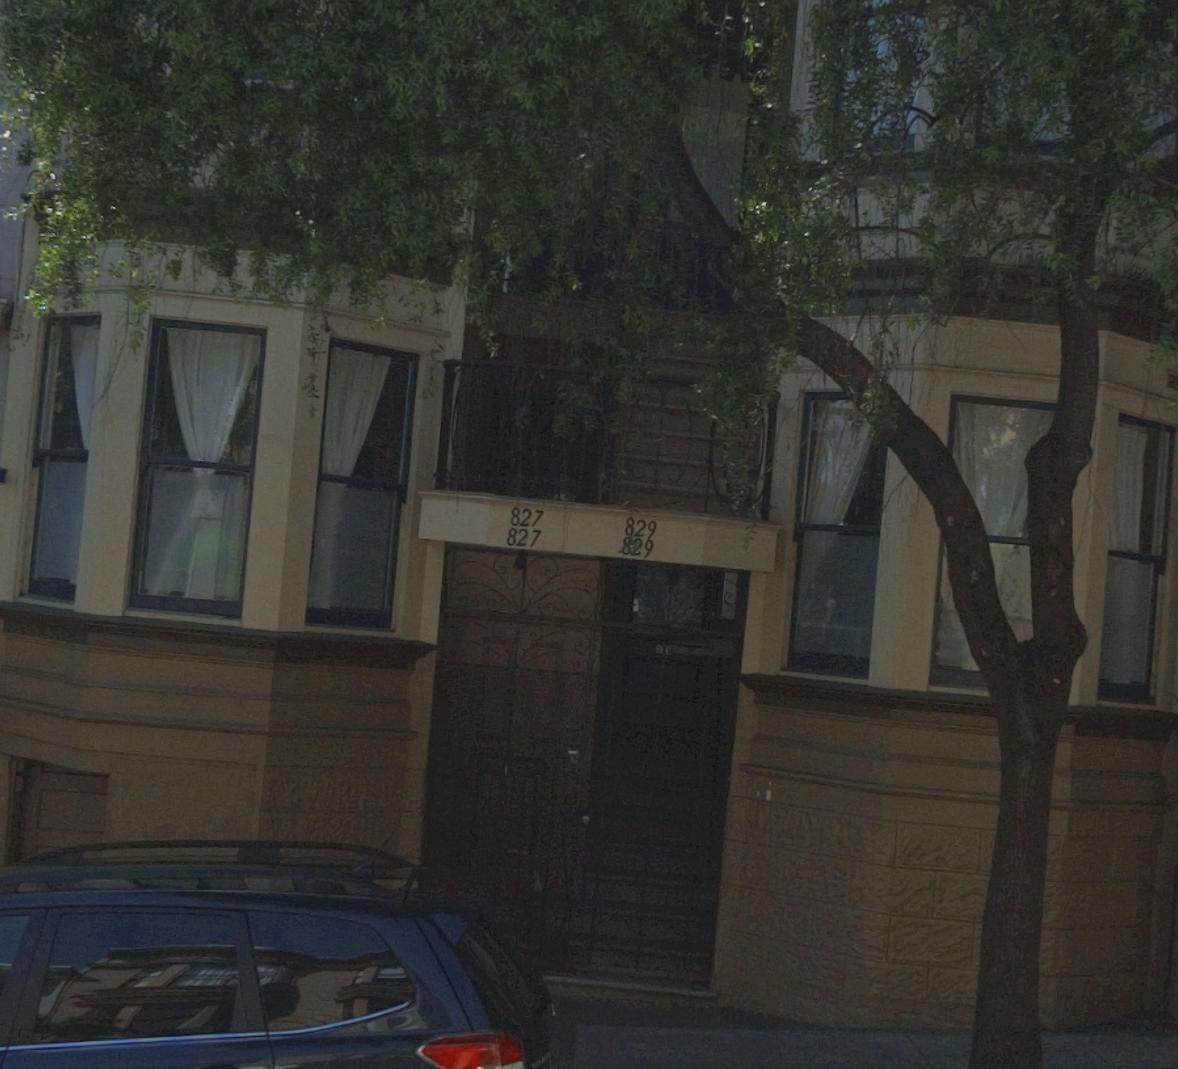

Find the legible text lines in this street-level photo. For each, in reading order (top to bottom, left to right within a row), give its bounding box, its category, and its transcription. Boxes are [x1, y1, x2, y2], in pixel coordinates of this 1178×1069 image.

[504, 527, 543, 548] StreetNumber: 827
[507, 505, 545, 529] StreetNumber: 827
[619, 535, 654, 560] StreetNumber: 829
[622, 516, 659, 540] StreetNumber: 829